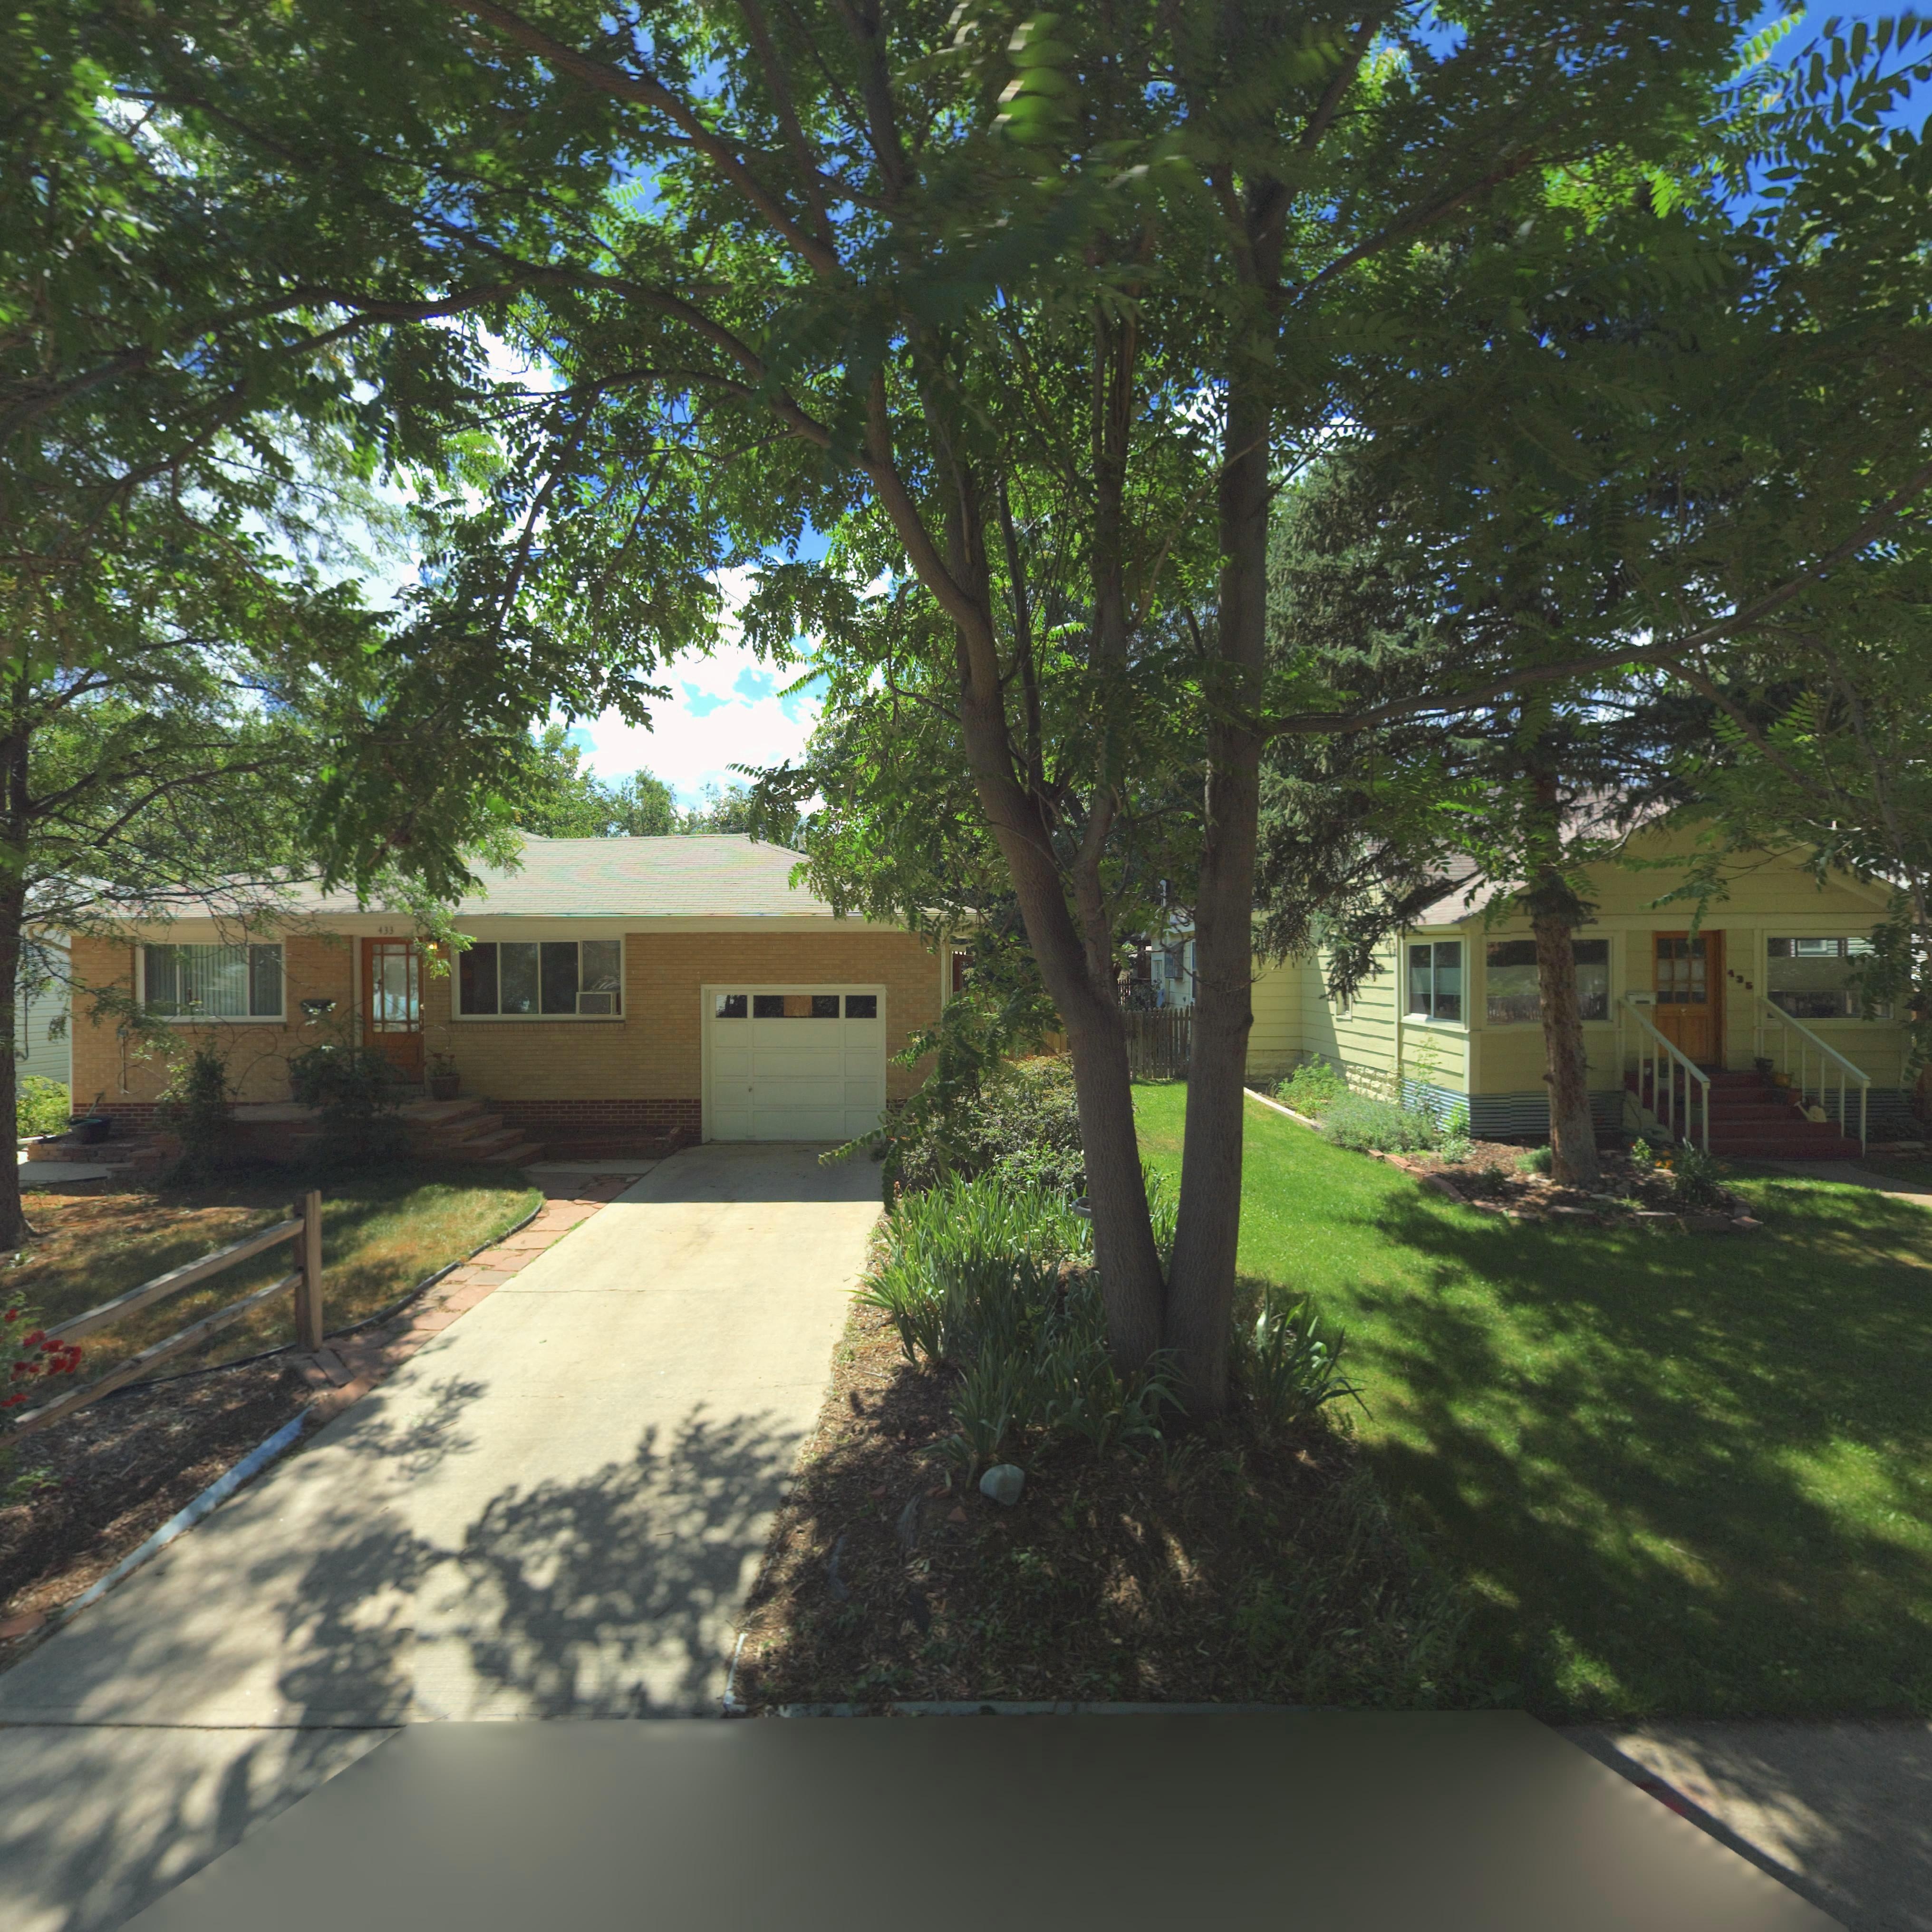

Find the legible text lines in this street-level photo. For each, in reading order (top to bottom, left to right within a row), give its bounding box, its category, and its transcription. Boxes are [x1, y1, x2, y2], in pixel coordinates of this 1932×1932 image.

[377, 925, 394, 935] StreetNumber: 433
[1726, 967, 1754, 991] StreetNumber: 435